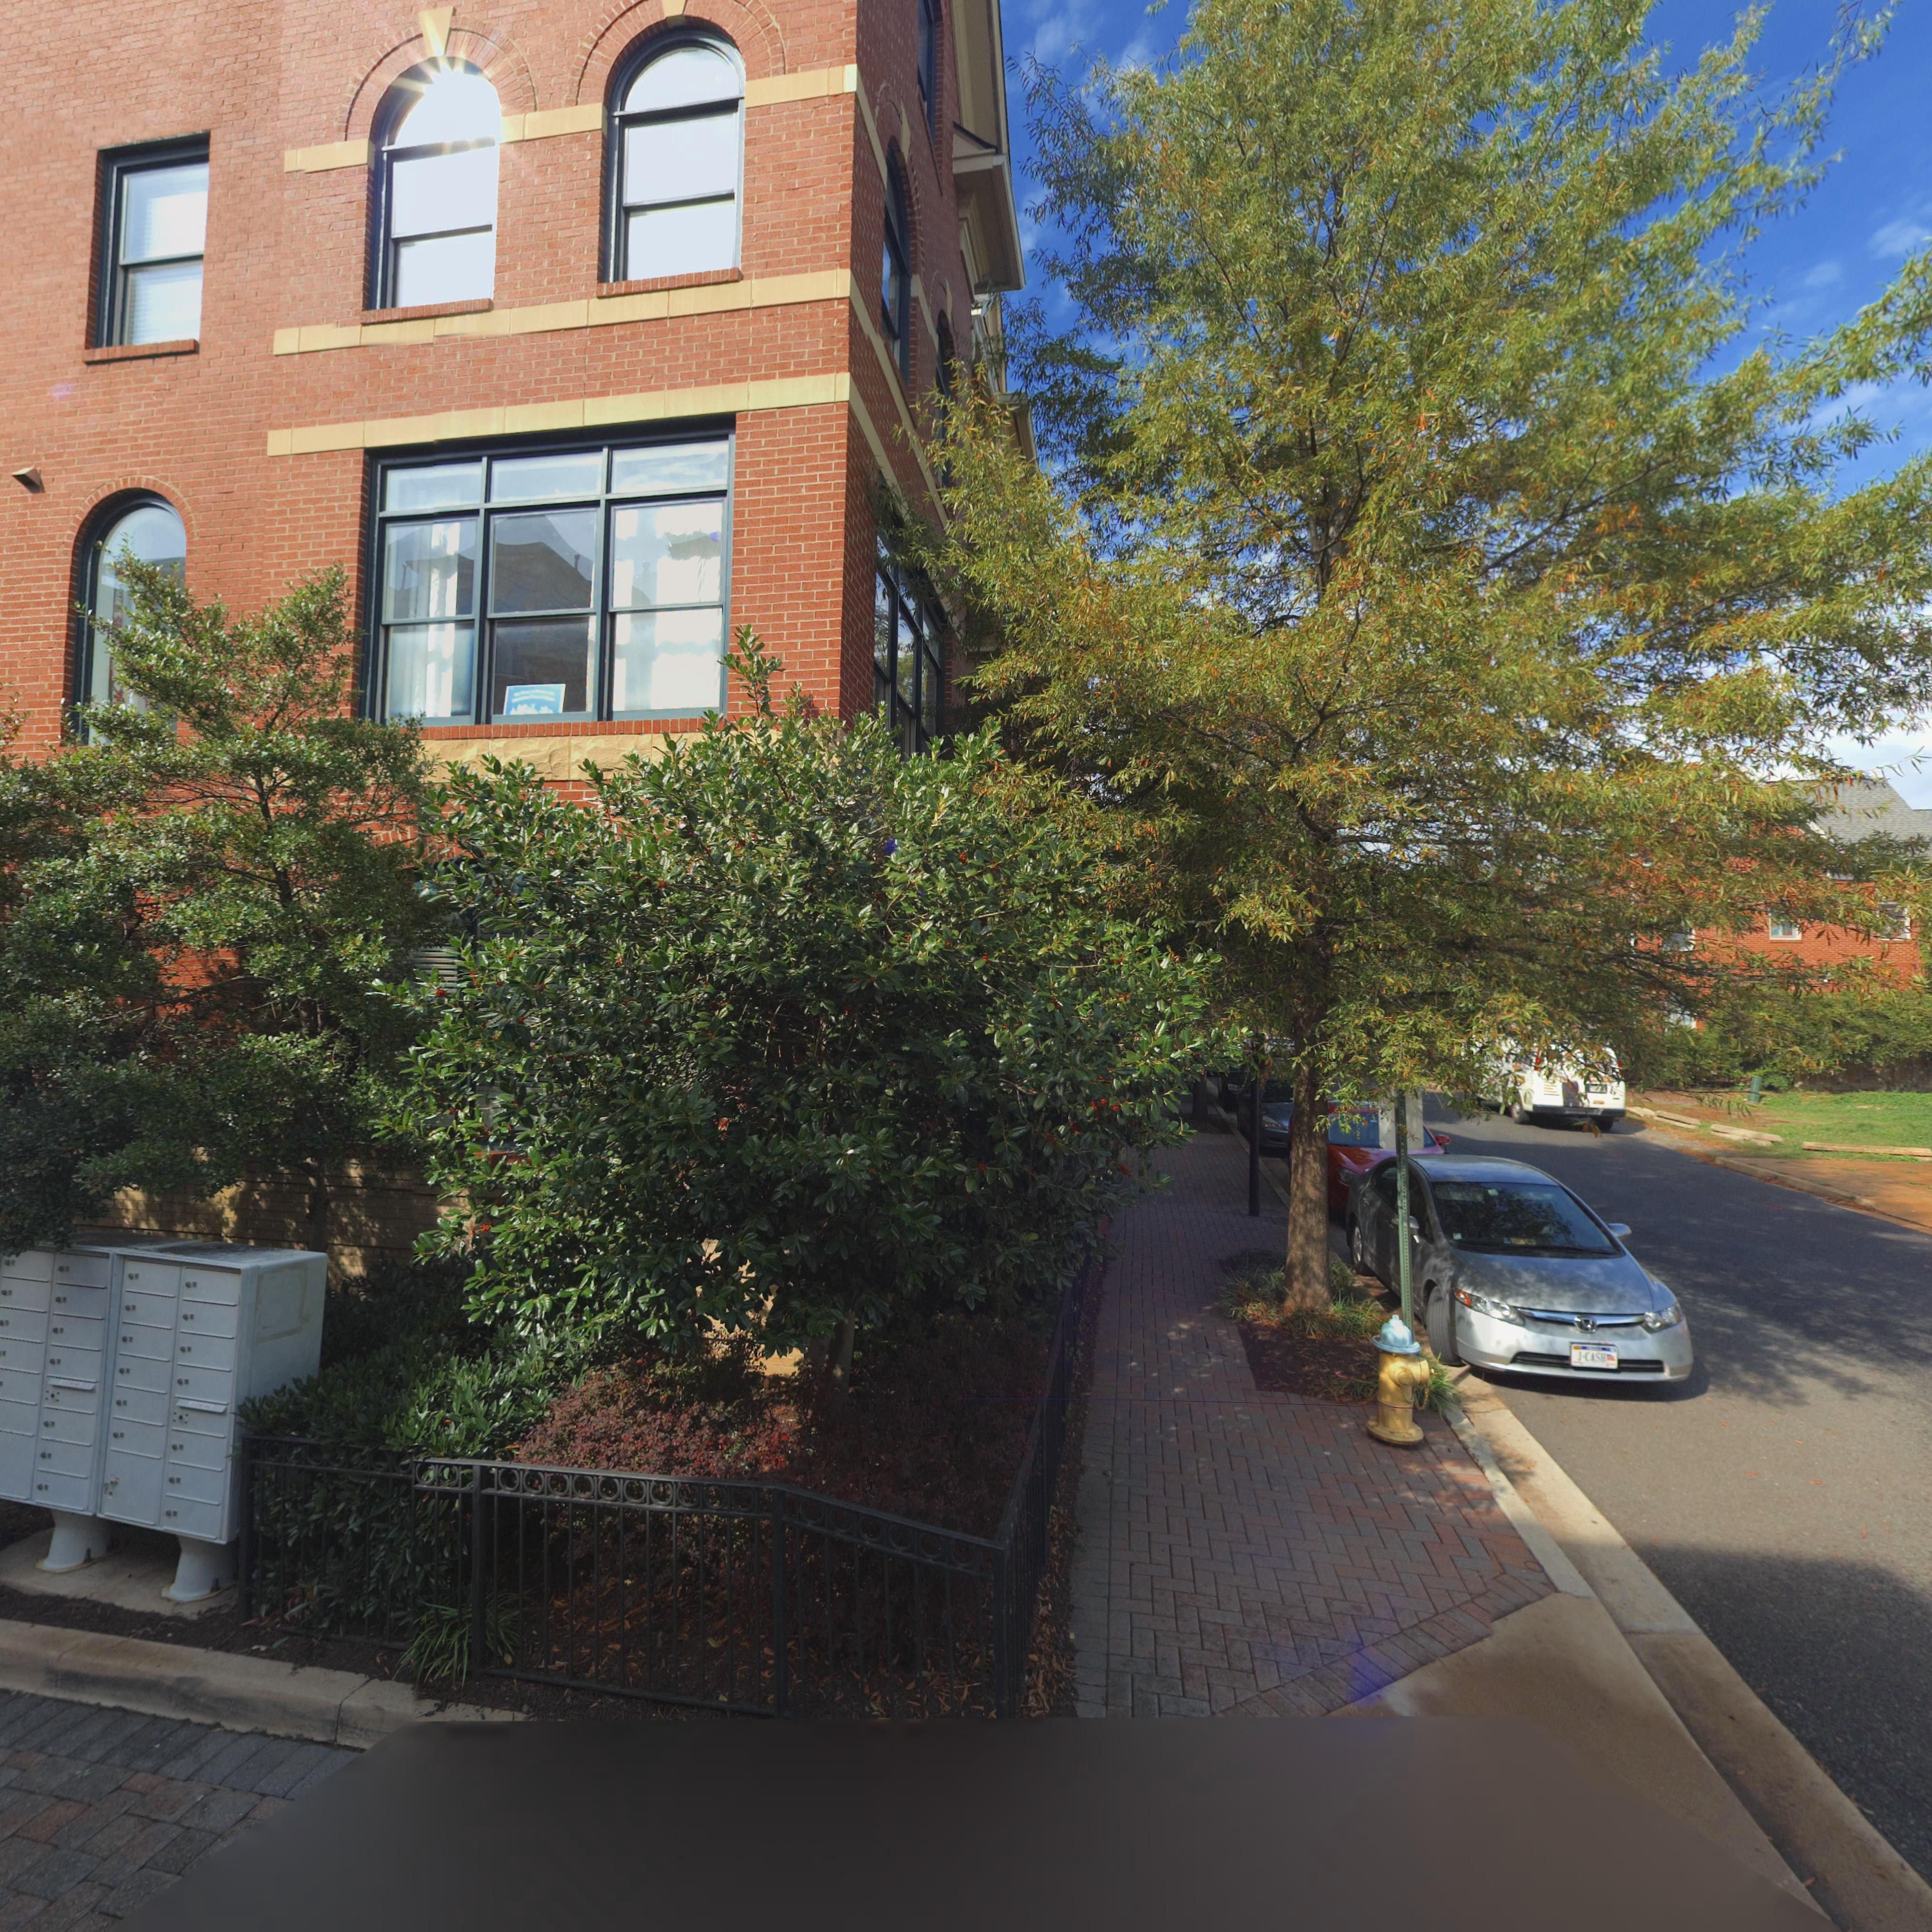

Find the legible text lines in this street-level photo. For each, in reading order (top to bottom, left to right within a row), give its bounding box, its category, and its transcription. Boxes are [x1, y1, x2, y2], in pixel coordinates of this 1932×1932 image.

[1575, 1350, 1608, 1364] None: J-CASH